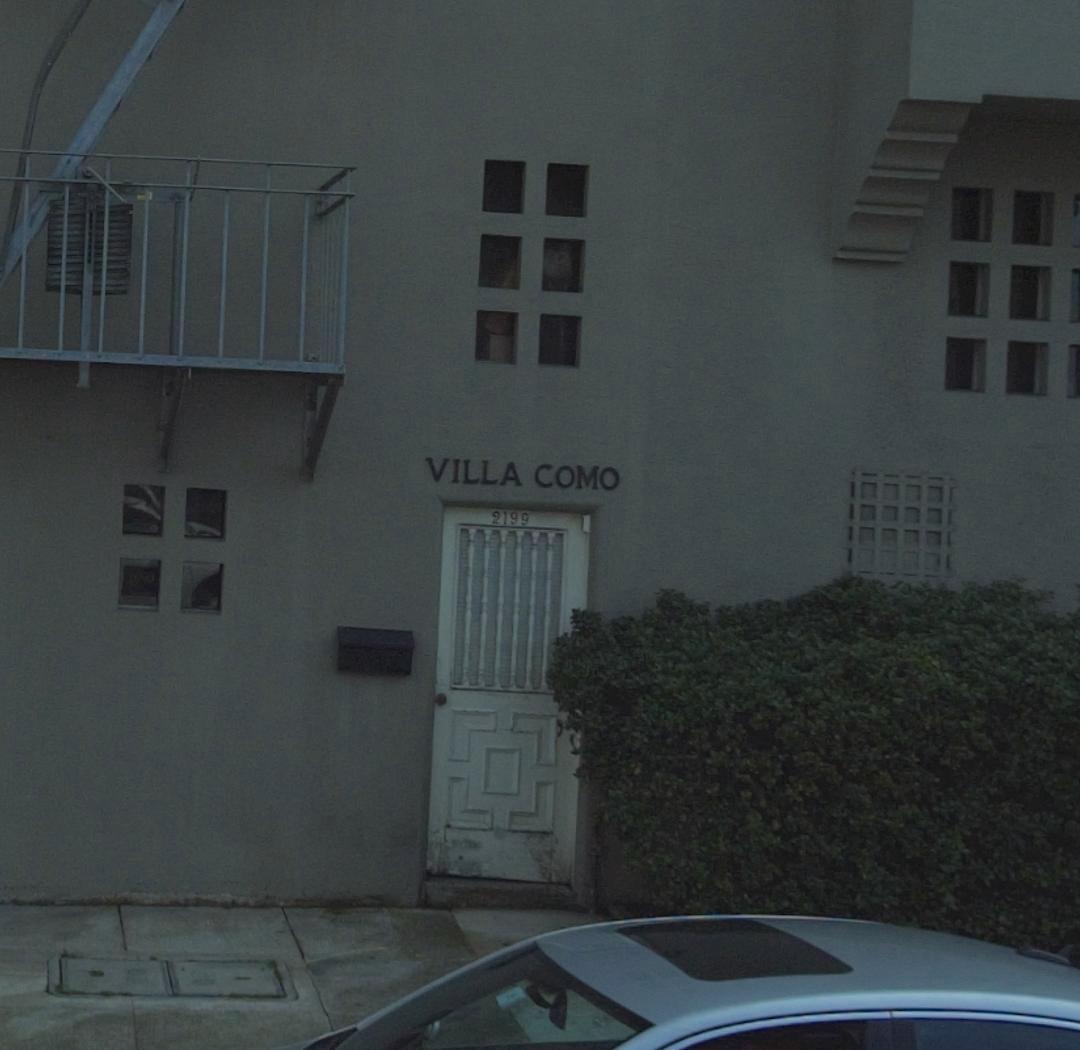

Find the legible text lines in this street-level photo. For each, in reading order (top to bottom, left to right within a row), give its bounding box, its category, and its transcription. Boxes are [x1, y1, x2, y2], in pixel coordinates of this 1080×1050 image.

[420, 454, 624, 493] None: VILLA COMO
[489, 509, 532, 528] StreetNumber: 2199